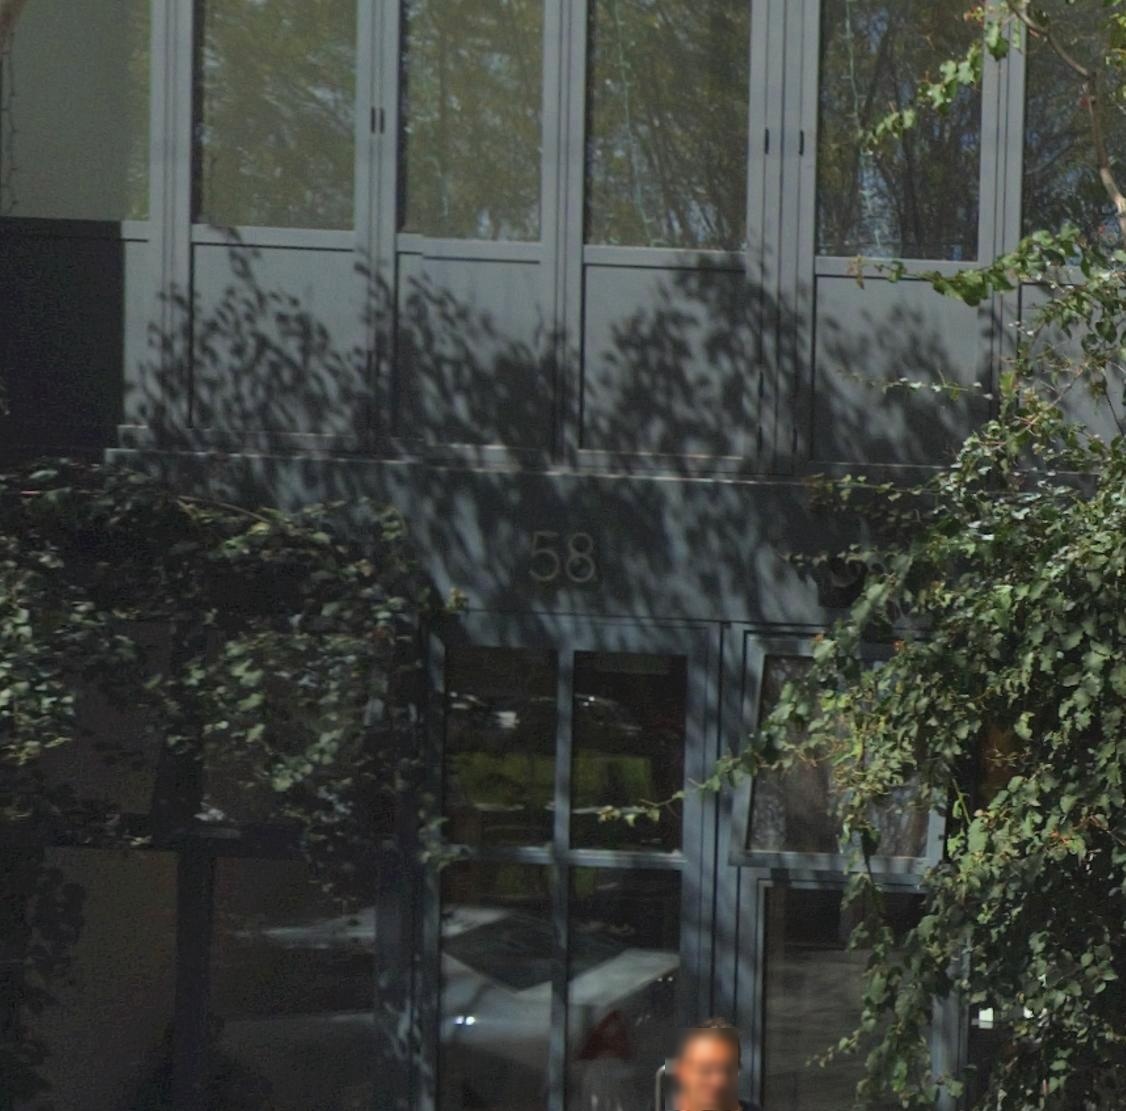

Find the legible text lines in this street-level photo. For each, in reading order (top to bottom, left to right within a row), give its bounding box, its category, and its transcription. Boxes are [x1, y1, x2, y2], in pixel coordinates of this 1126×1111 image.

[525, 525, 602, 588] StreetNumber: 58